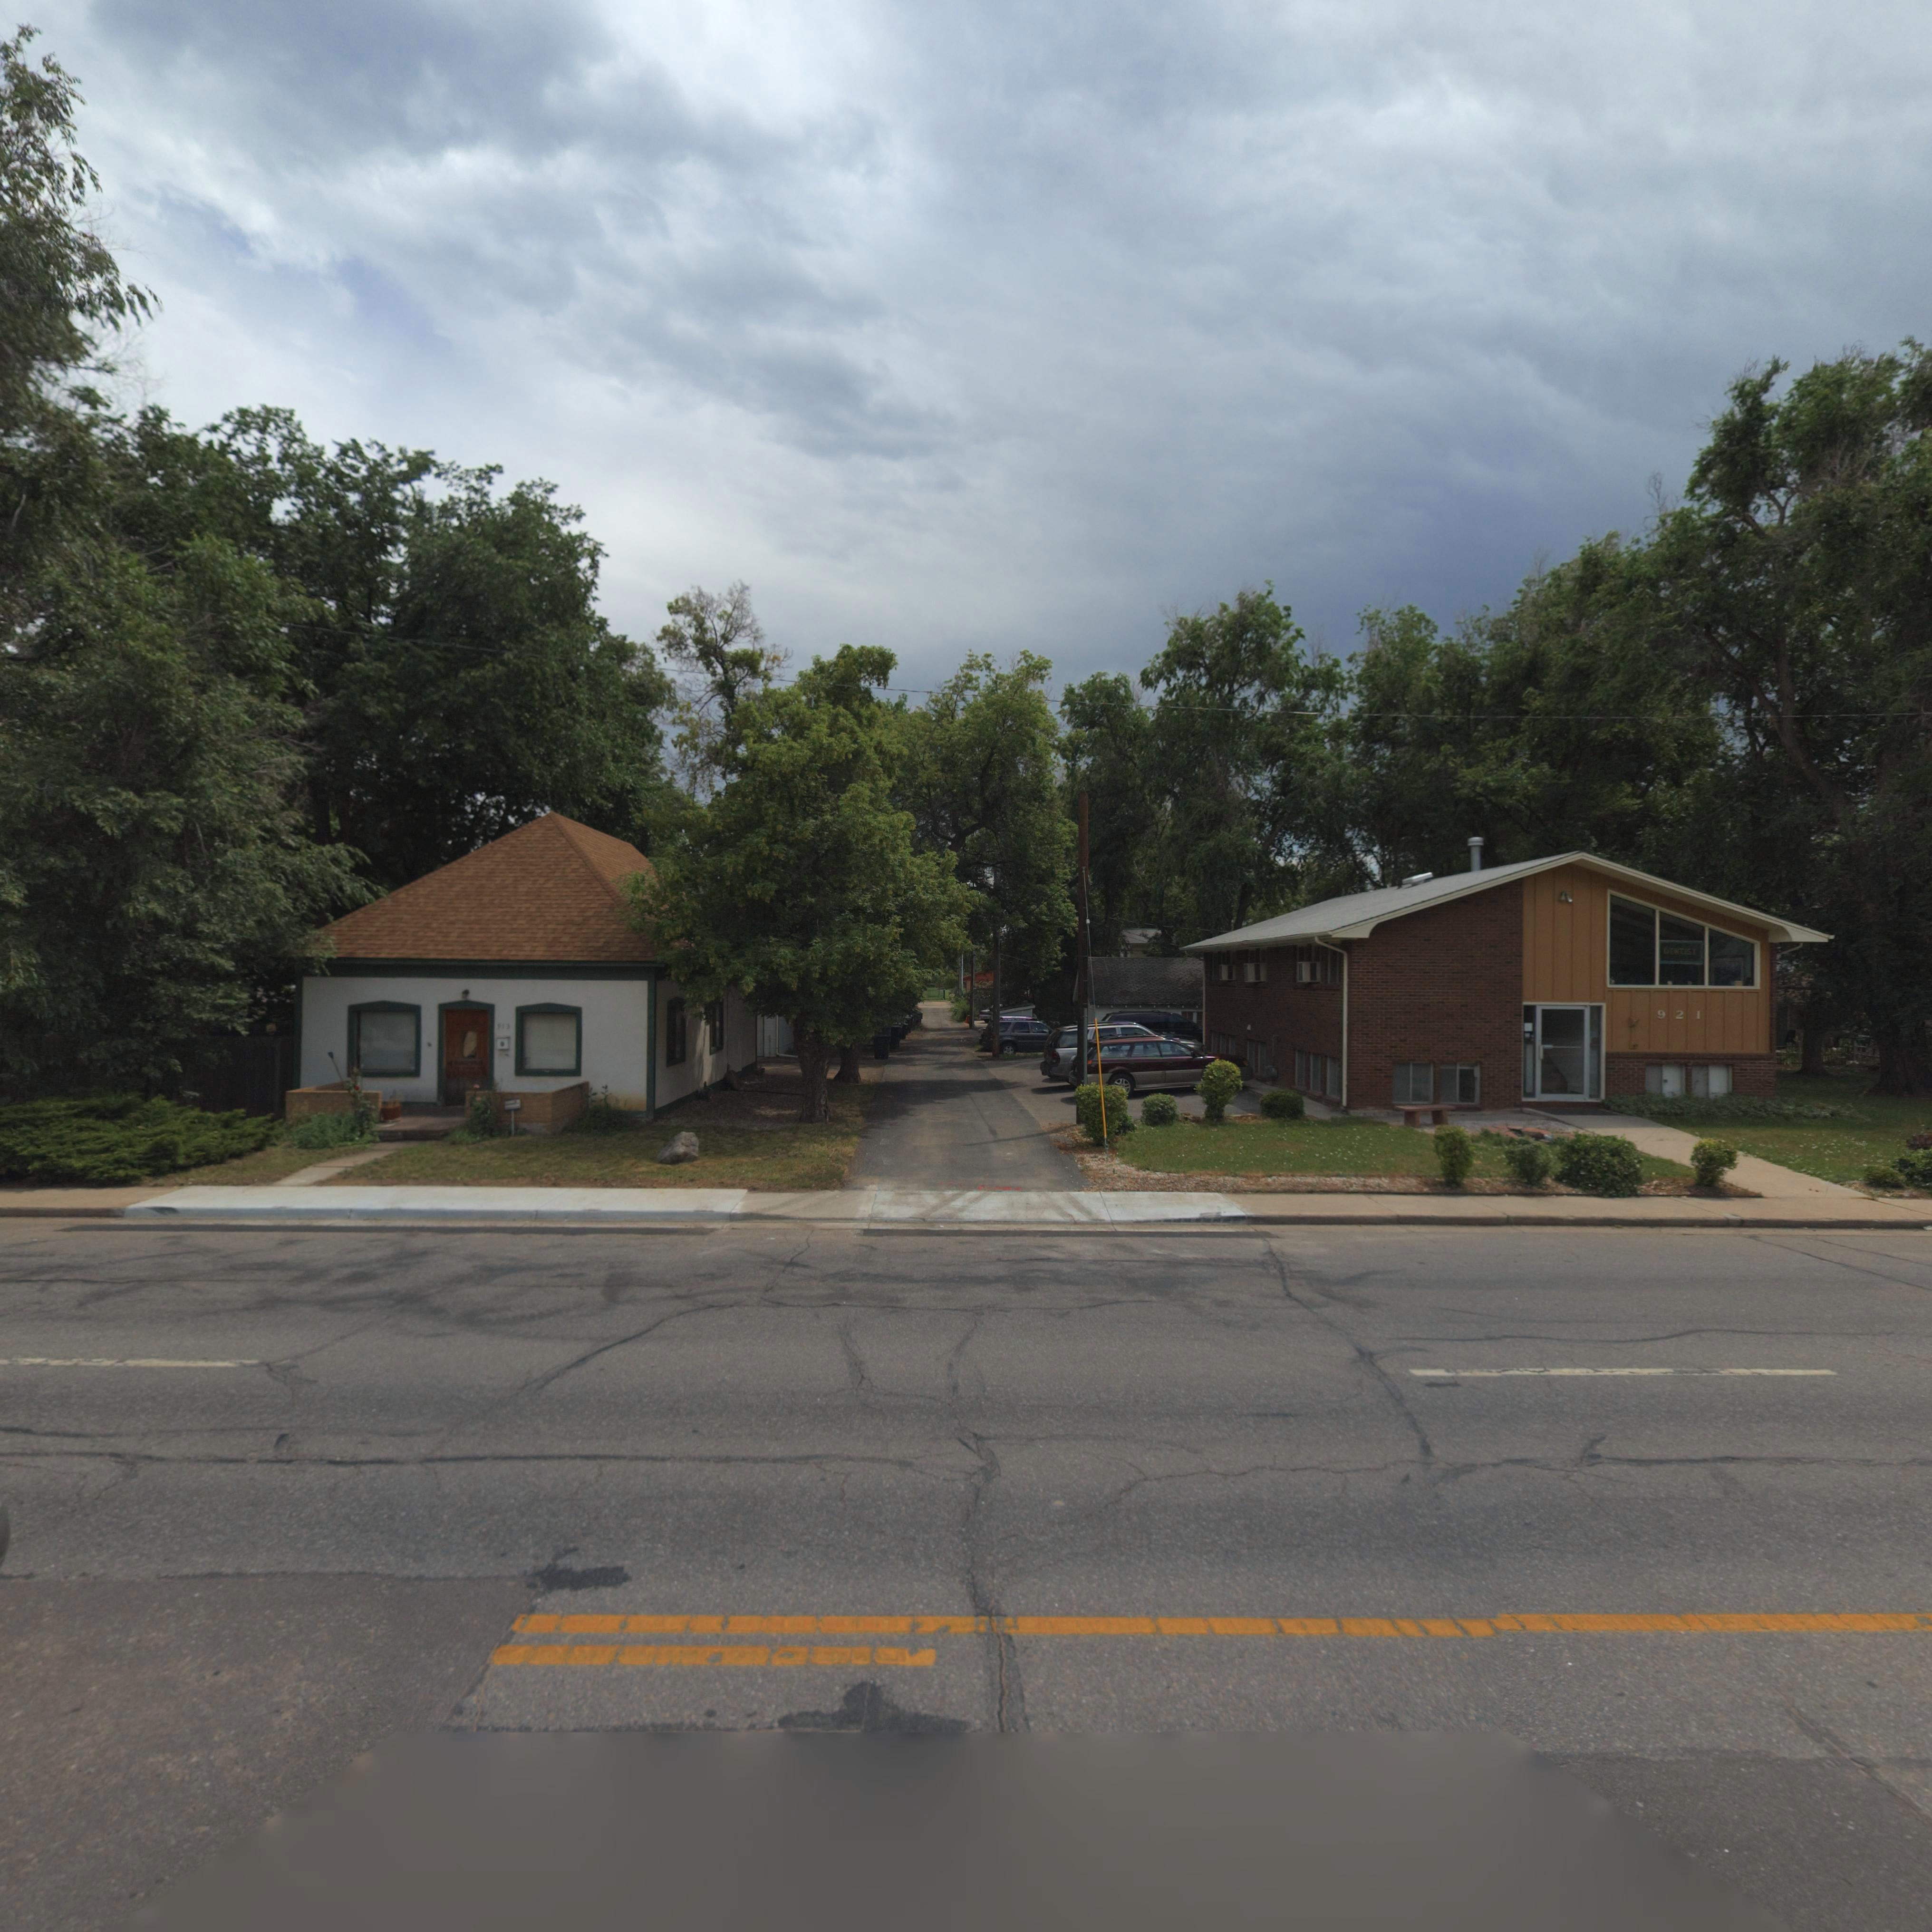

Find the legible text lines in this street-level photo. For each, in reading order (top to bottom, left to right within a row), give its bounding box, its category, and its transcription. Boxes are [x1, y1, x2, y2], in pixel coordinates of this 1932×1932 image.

[1656, 1009, 1700, 1019] StreetNumber: 921
[496, 1022, 511, 1030] StreetNumber: 913